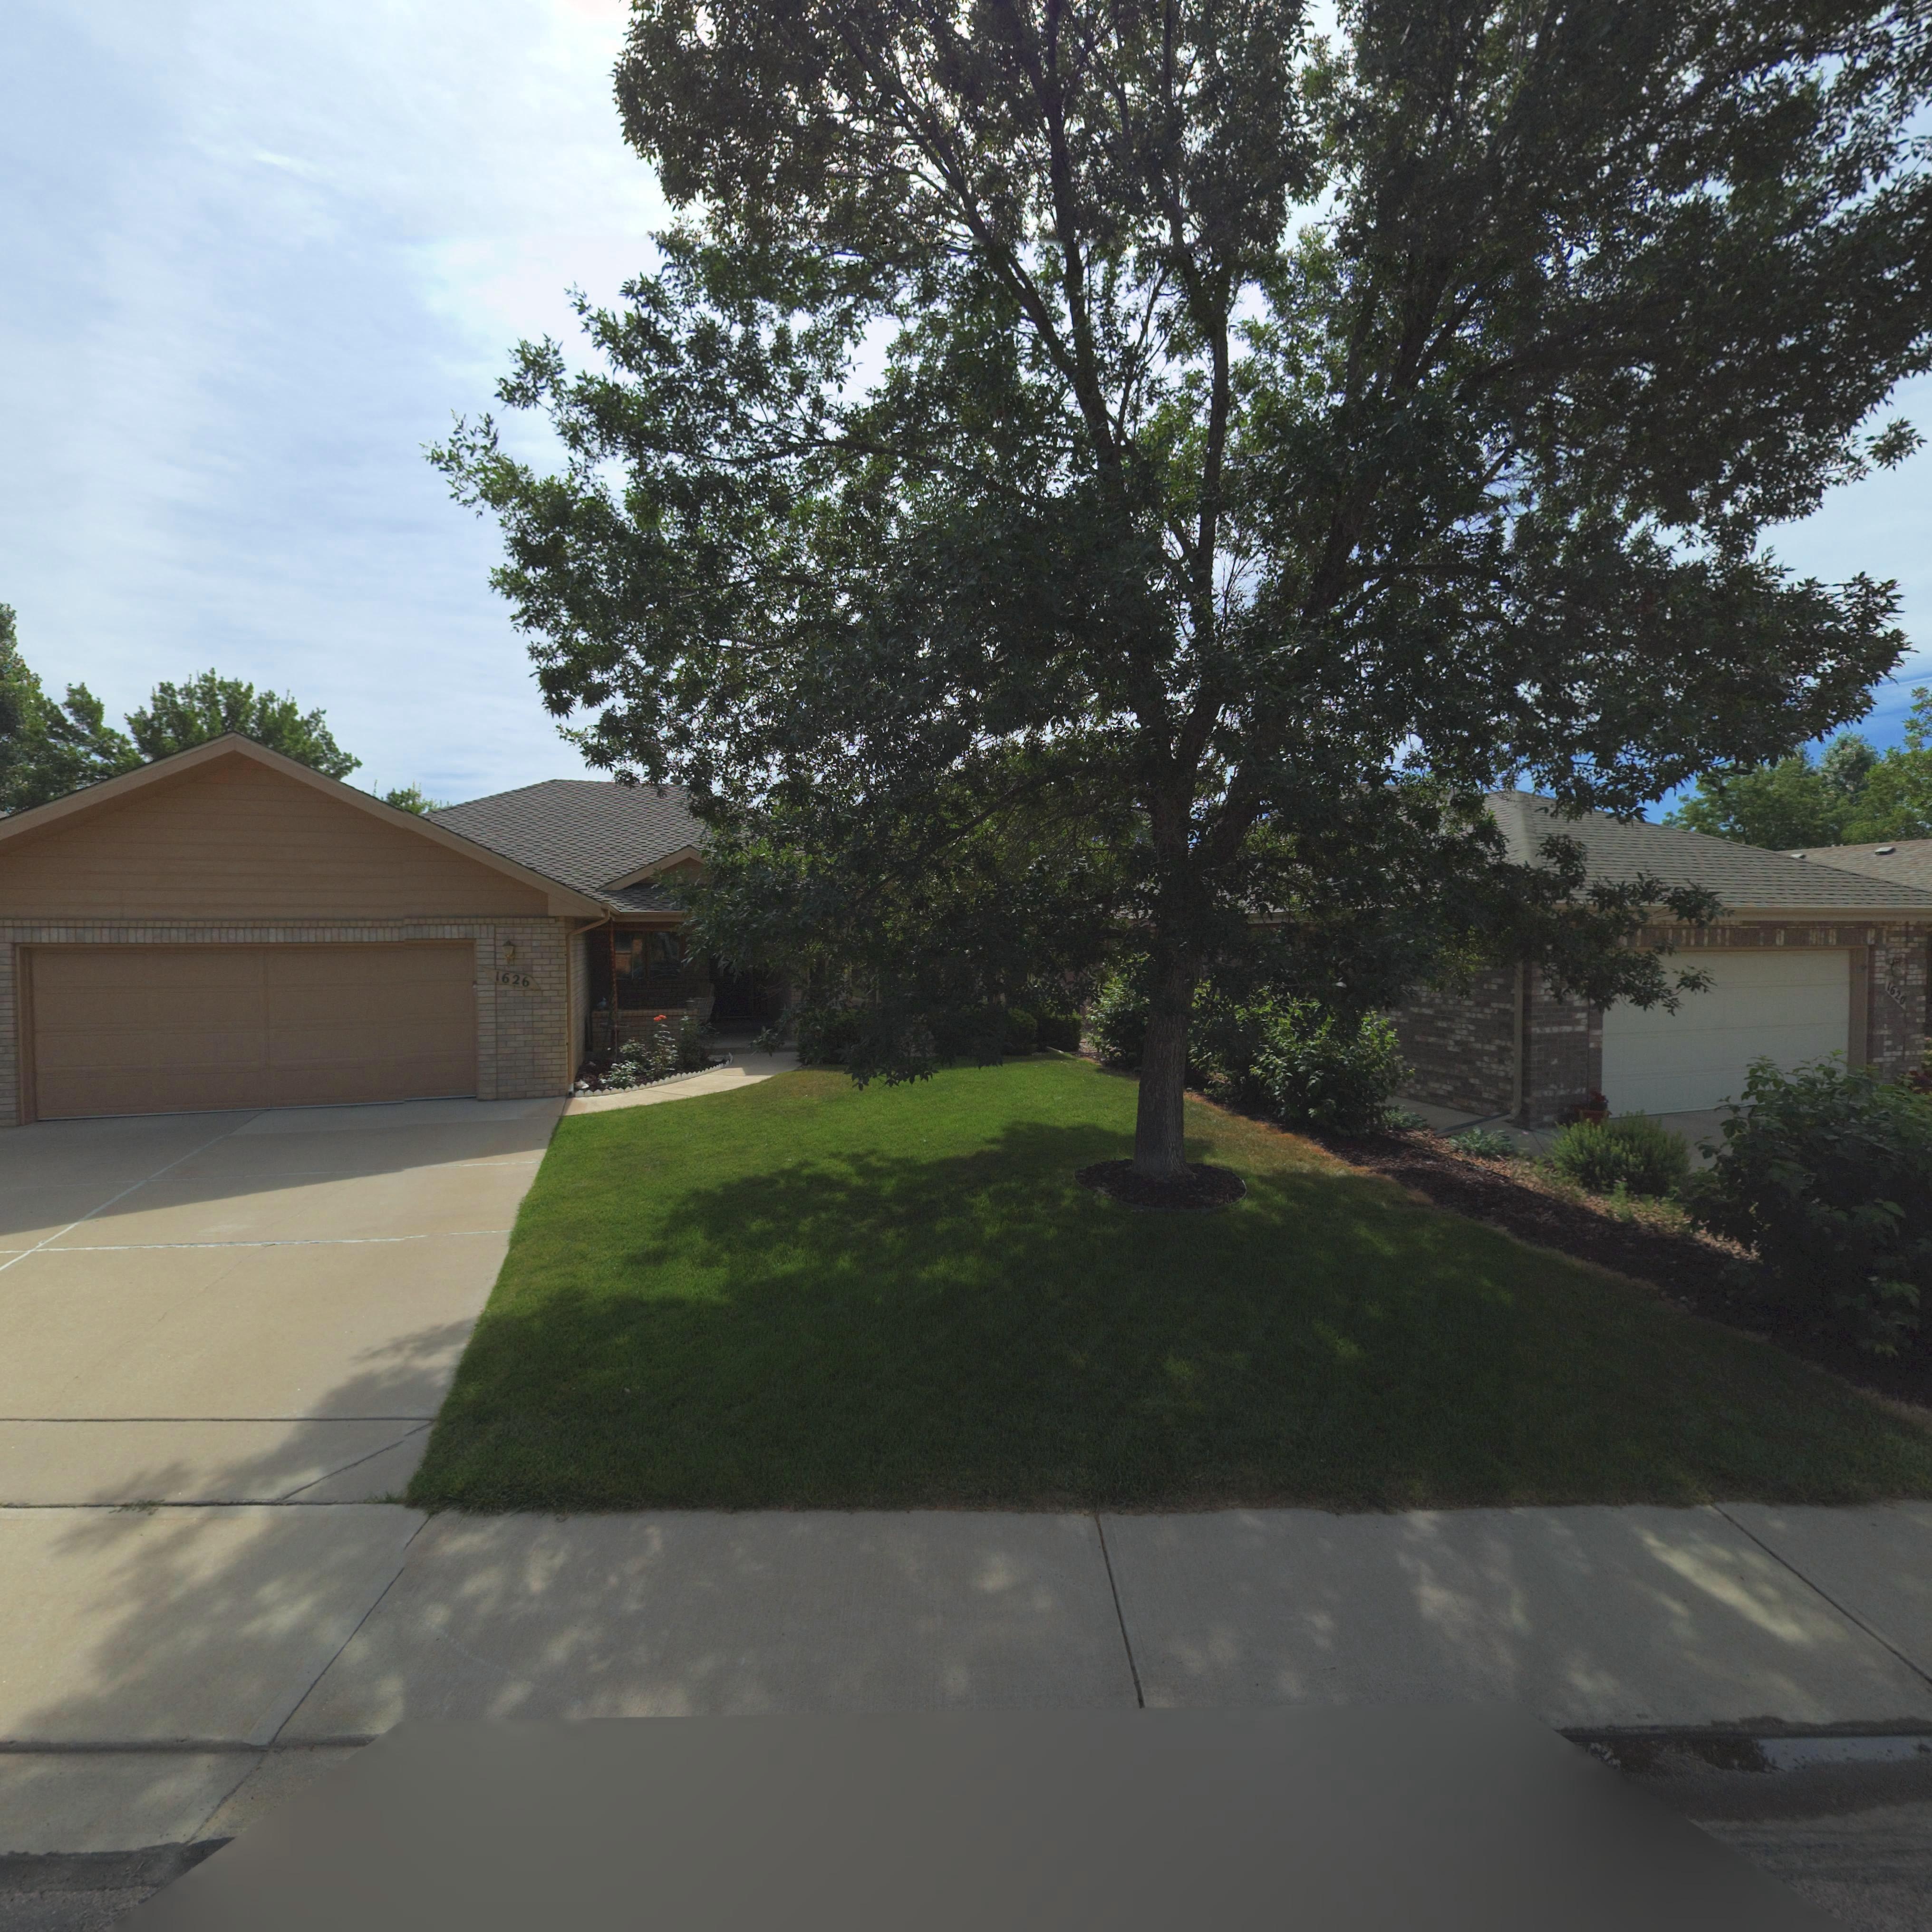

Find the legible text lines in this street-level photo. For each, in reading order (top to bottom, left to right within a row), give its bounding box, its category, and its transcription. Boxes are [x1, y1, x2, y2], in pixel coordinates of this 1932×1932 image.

[494, 970, 530, 987] StreetNumber: 1626
[1886, 981, 1906, 1005] StreetNumber: 1620